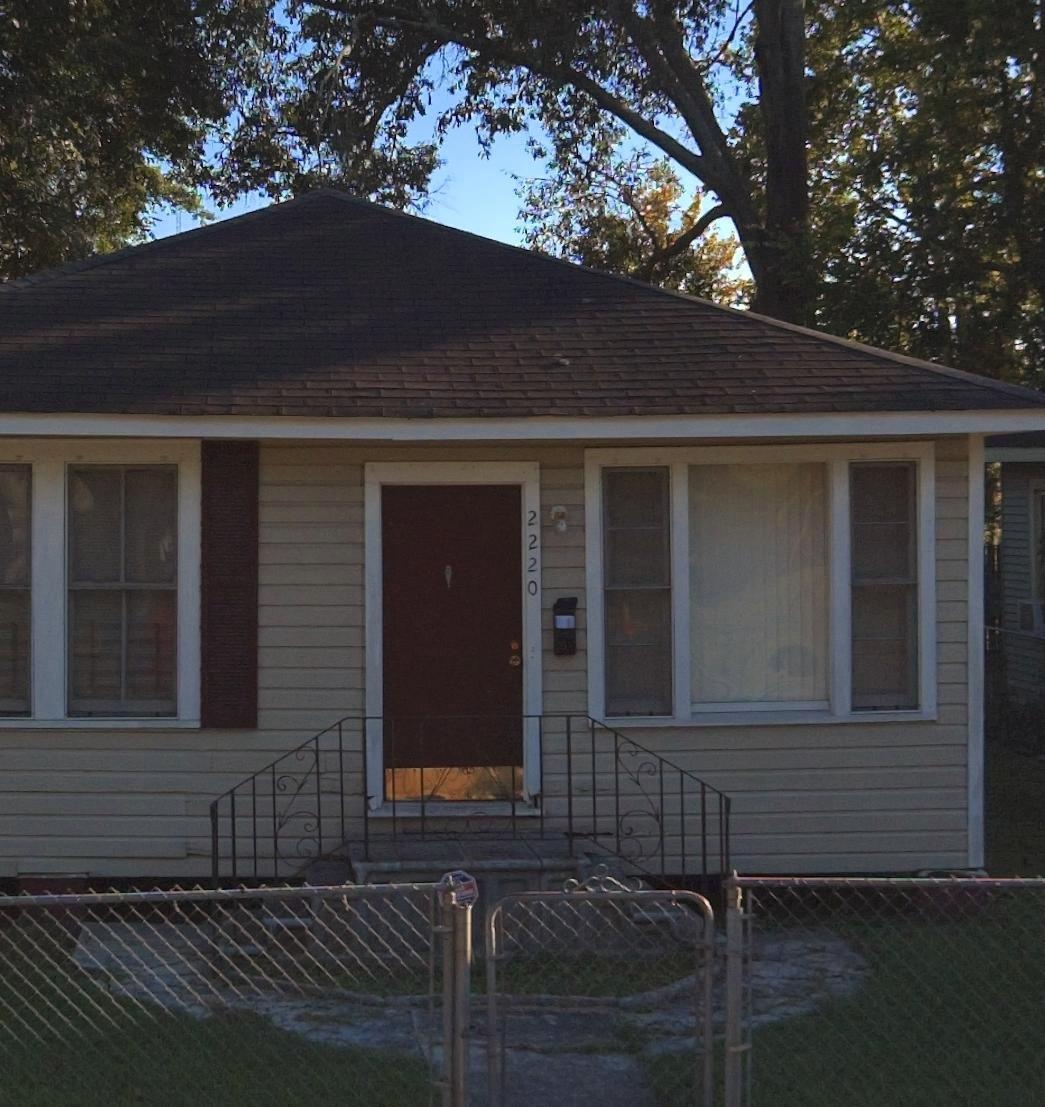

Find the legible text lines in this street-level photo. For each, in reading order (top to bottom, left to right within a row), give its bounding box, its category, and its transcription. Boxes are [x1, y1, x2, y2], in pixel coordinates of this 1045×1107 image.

[524, 507, 541, 598] StreetNumber: 2220